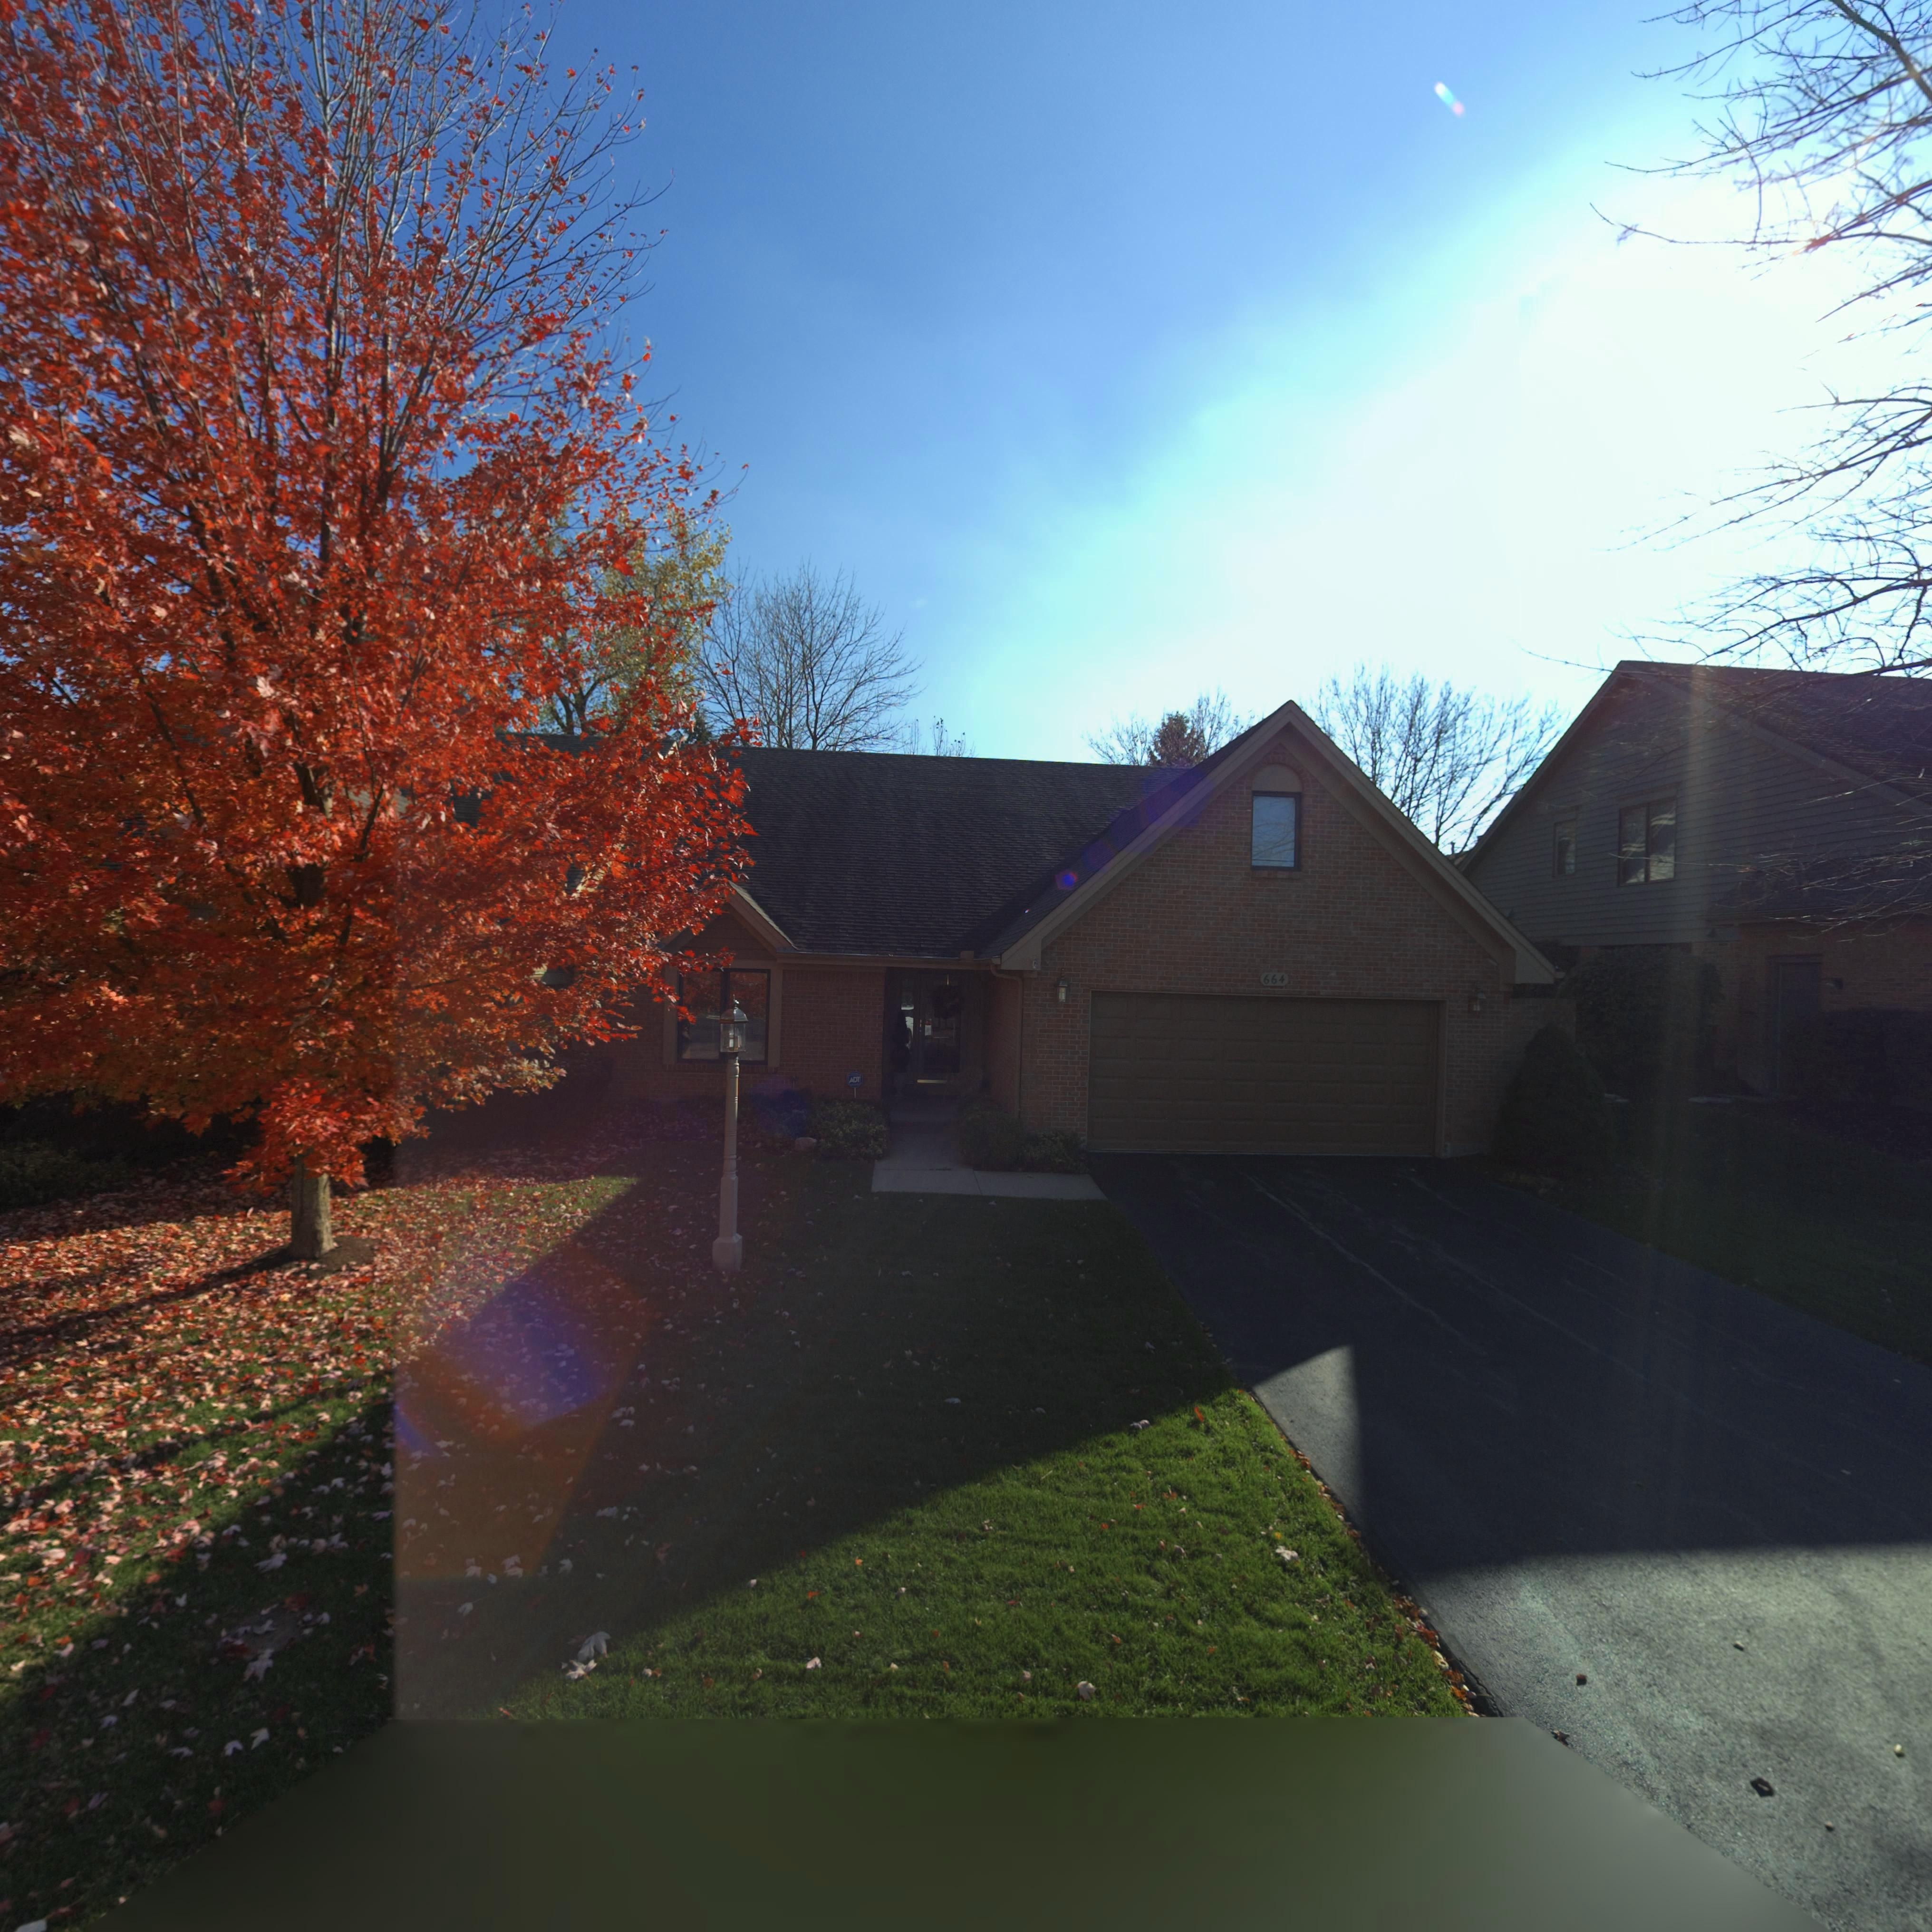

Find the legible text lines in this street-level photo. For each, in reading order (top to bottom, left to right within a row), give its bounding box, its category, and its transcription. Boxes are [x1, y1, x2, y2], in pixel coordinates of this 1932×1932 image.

[1262, 973, 1286, 985] StreetNumber: 664